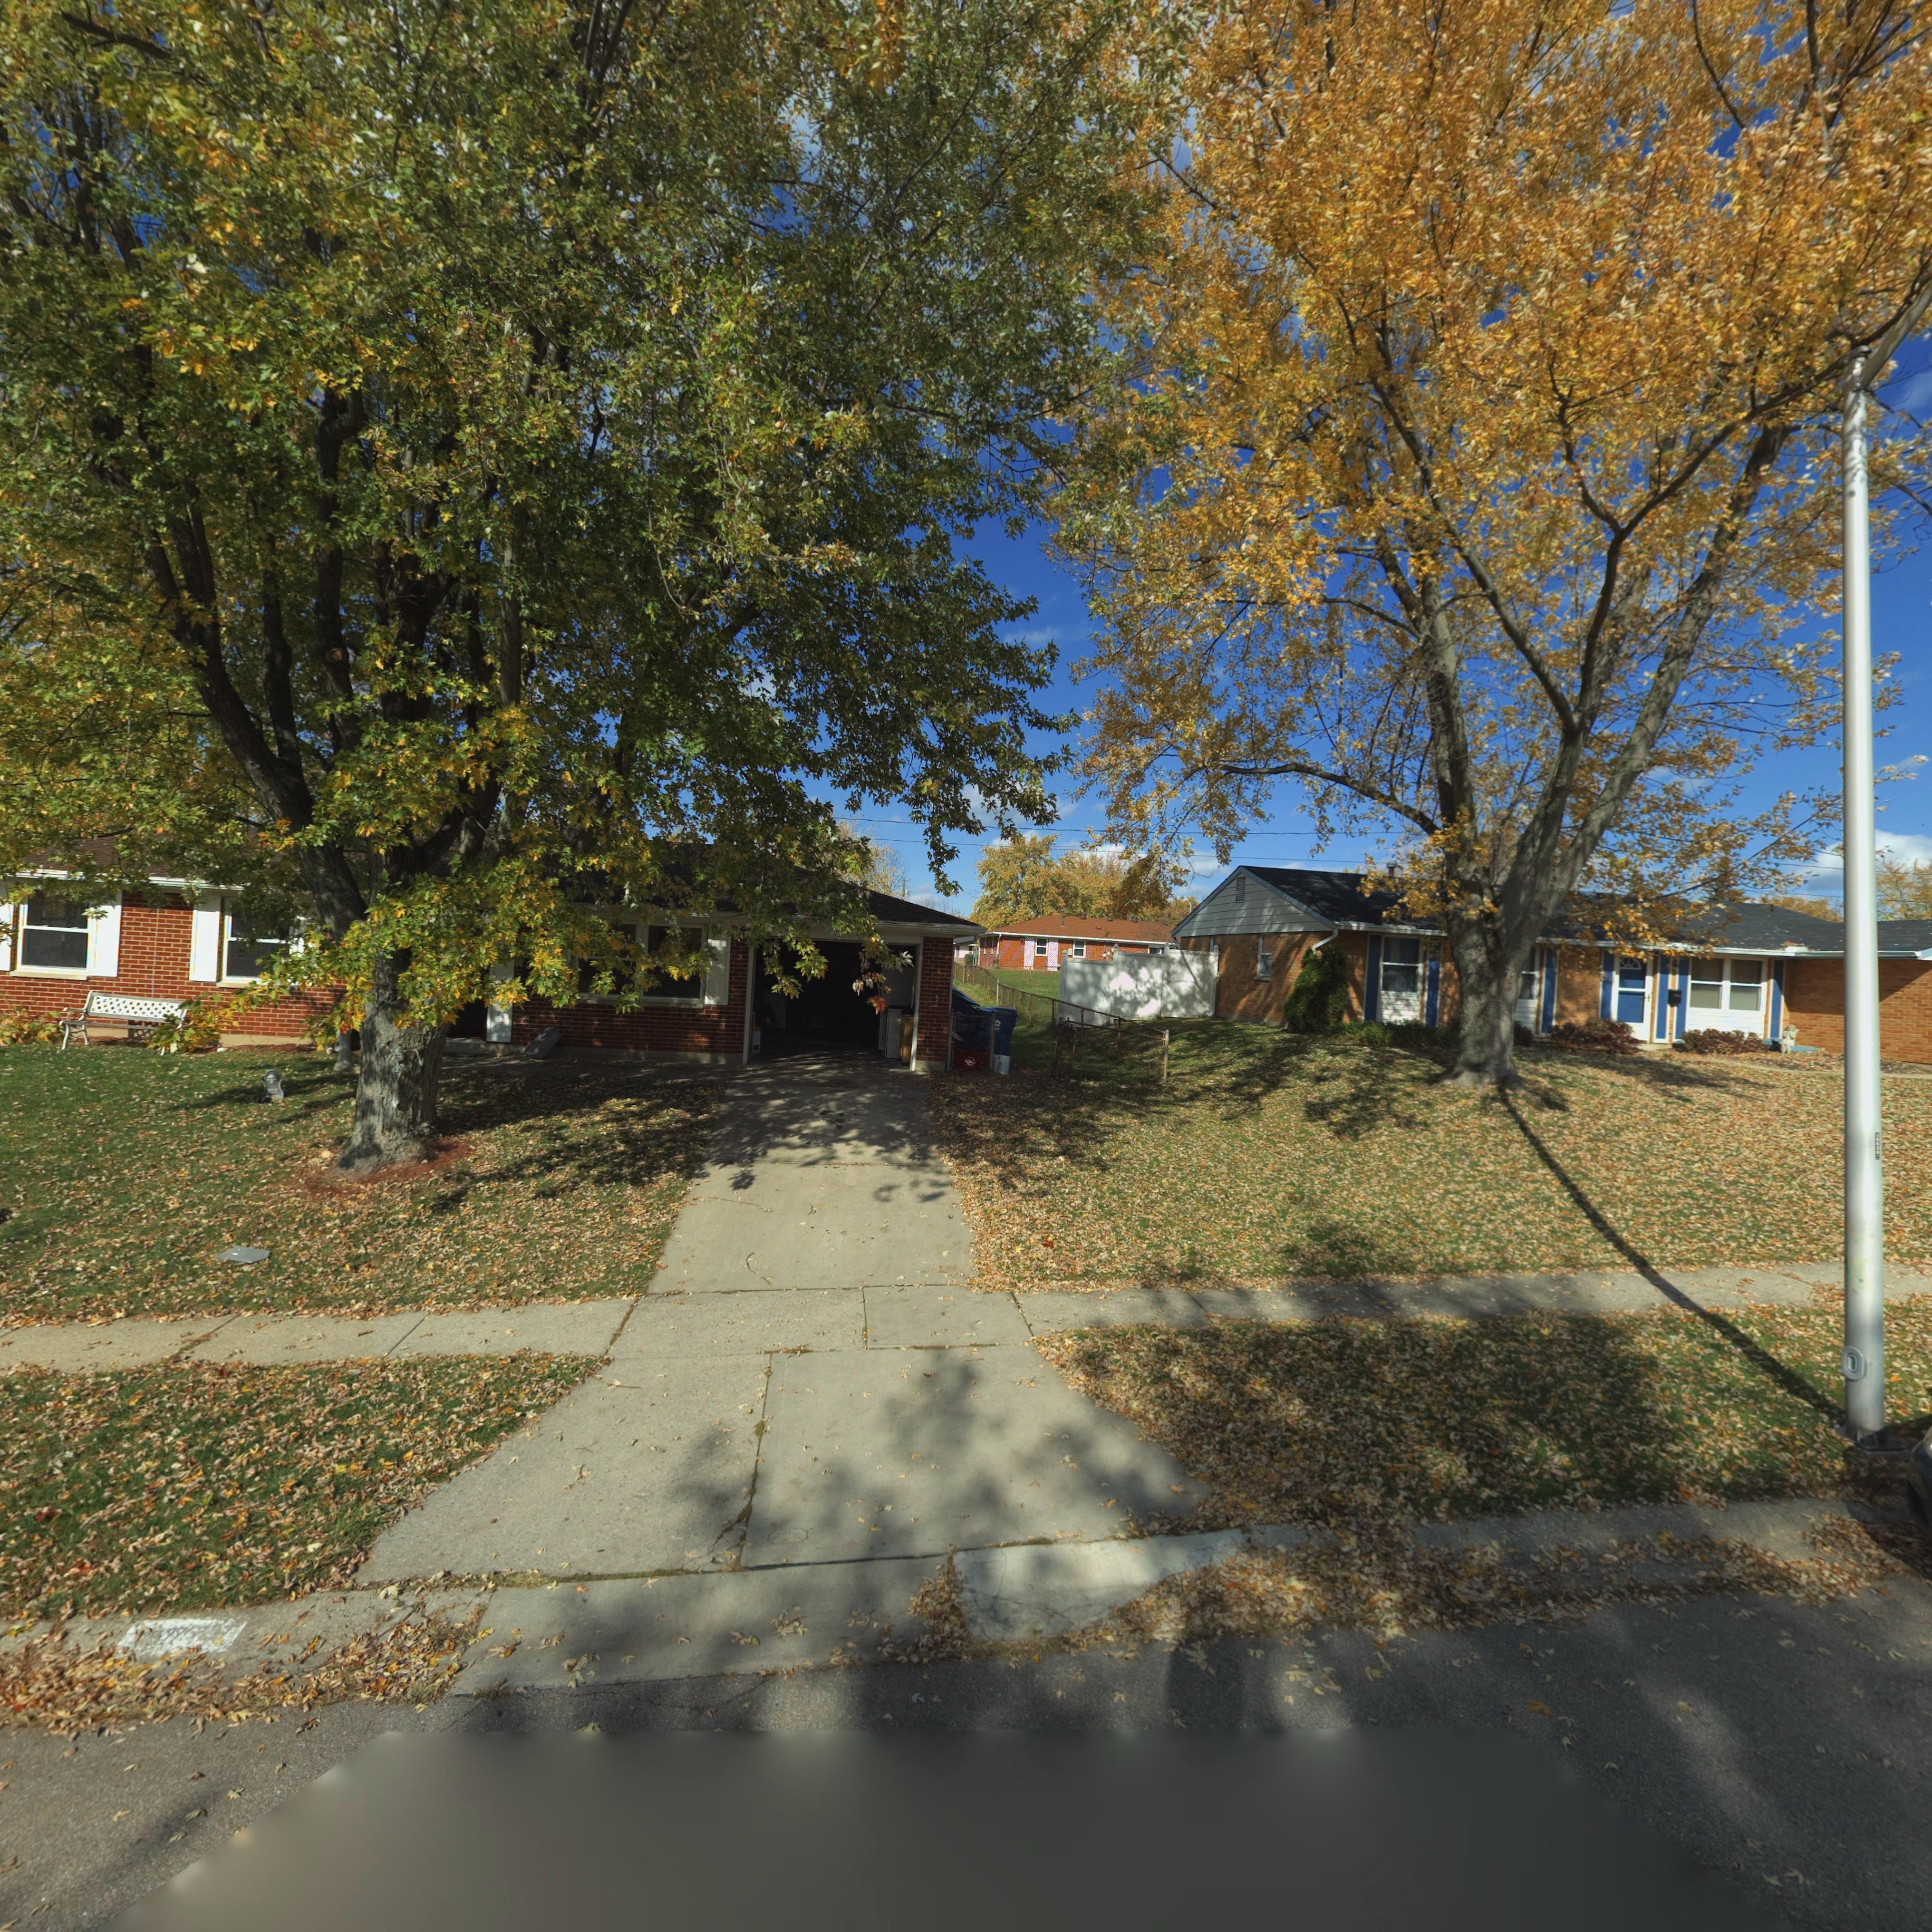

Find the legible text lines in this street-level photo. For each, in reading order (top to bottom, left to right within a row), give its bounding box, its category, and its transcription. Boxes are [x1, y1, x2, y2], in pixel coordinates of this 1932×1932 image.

[131, 1626, 190, 1649] StreetNumber: 7577